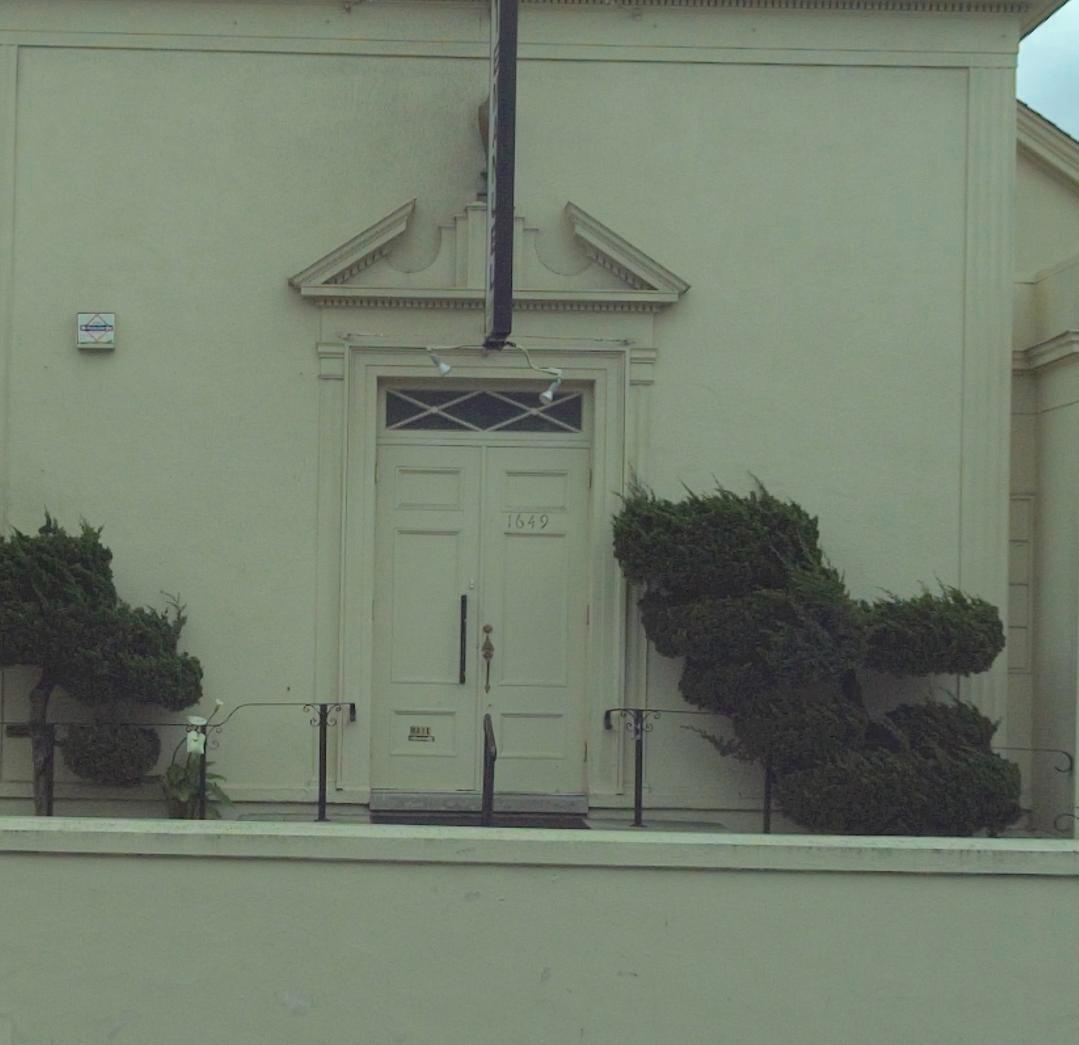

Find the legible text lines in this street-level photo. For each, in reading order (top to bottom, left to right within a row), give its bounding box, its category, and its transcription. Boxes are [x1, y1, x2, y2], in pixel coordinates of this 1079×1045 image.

[505, 511, 549, 531] StreetNumber: 1649